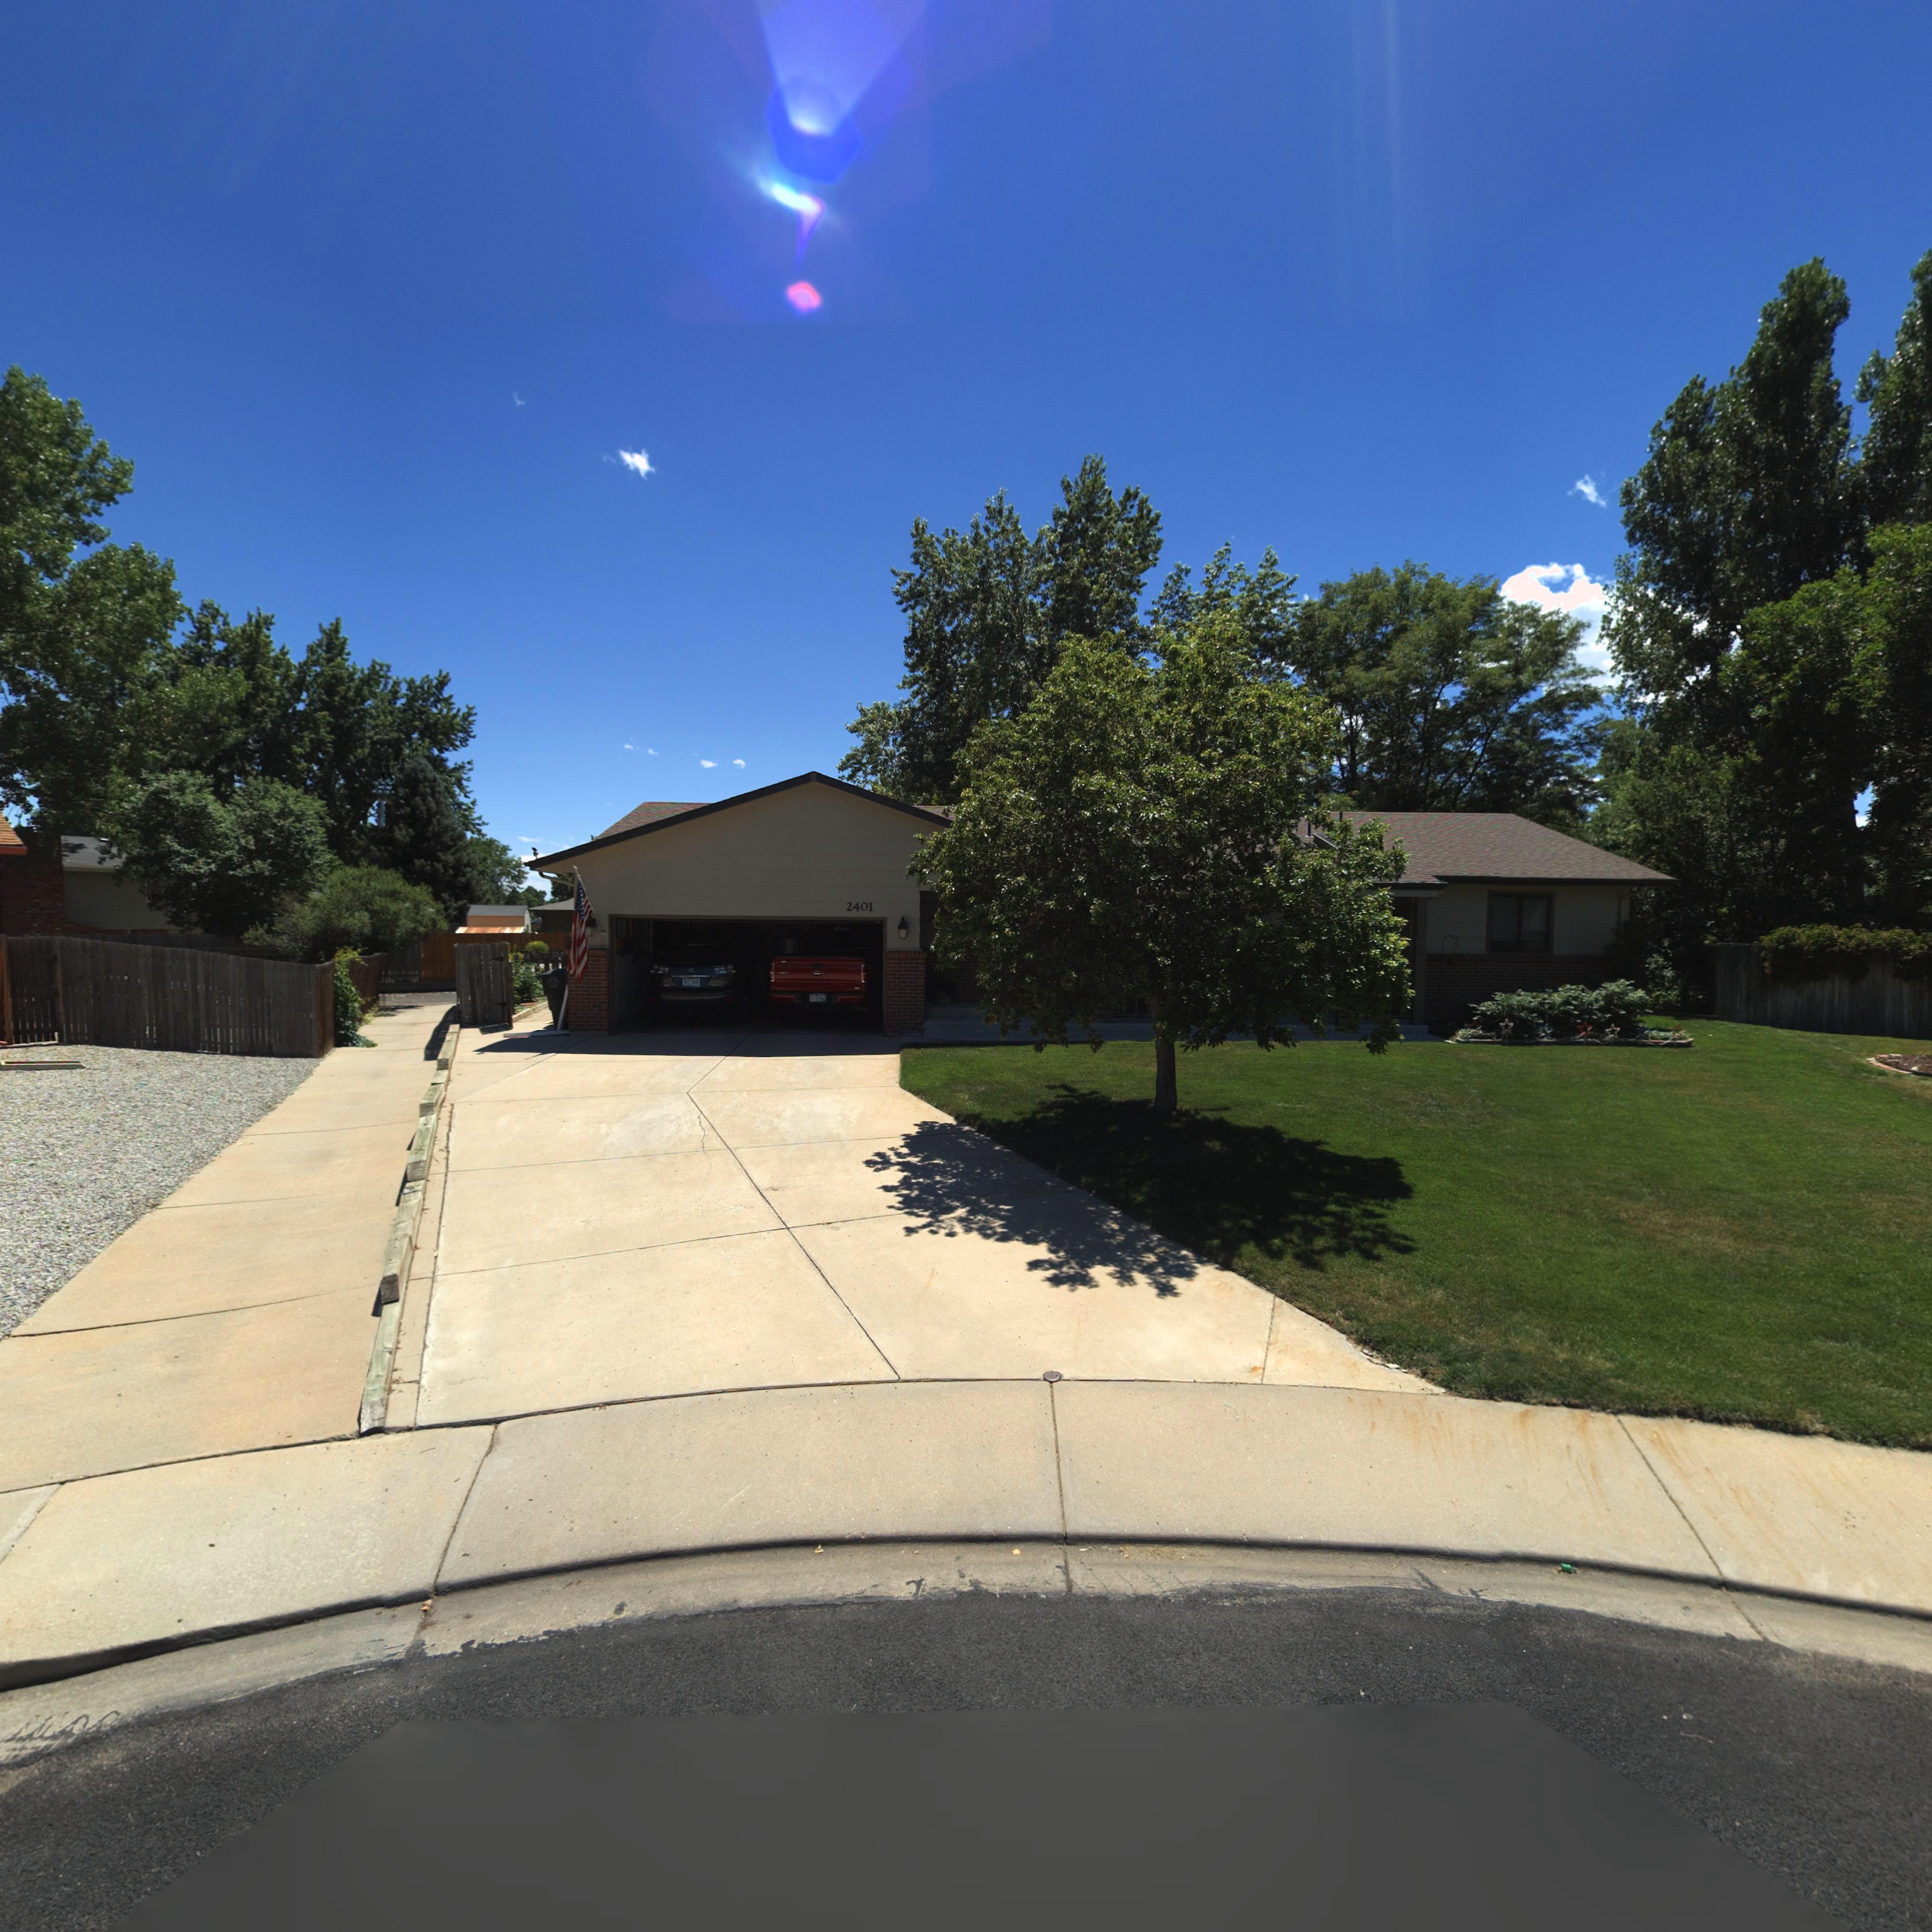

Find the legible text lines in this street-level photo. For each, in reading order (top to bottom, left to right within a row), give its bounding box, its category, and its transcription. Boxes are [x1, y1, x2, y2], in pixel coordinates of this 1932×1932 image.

[845, 902, 873, 911] StreetNumber: 2401